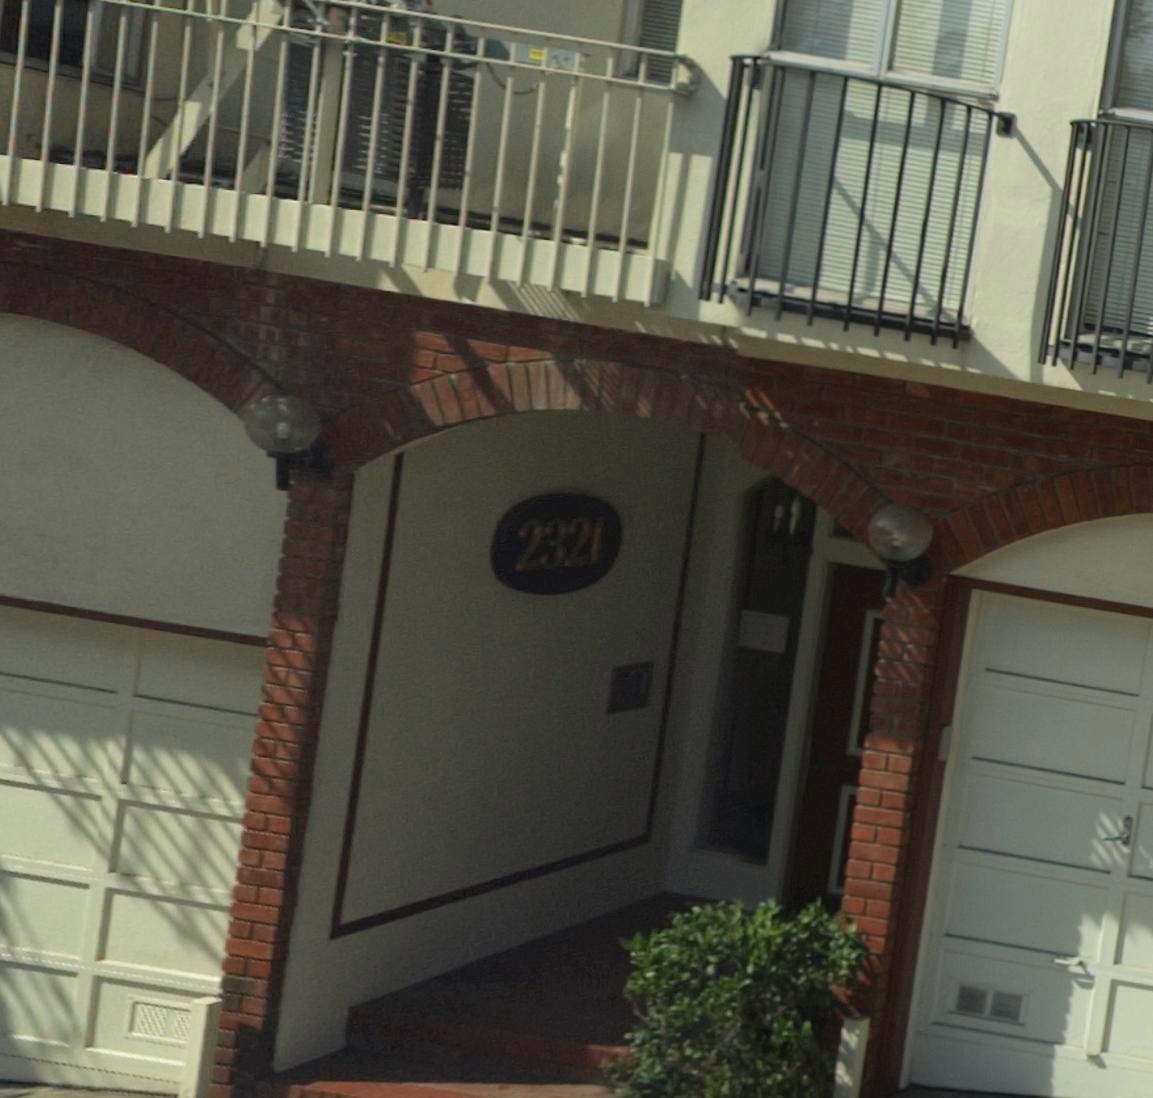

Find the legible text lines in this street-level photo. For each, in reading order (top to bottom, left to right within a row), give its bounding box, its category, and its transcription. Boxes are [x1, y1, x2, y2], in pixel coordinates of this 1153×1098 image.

[510, 511, 610, 575] StreetNumber: 2321